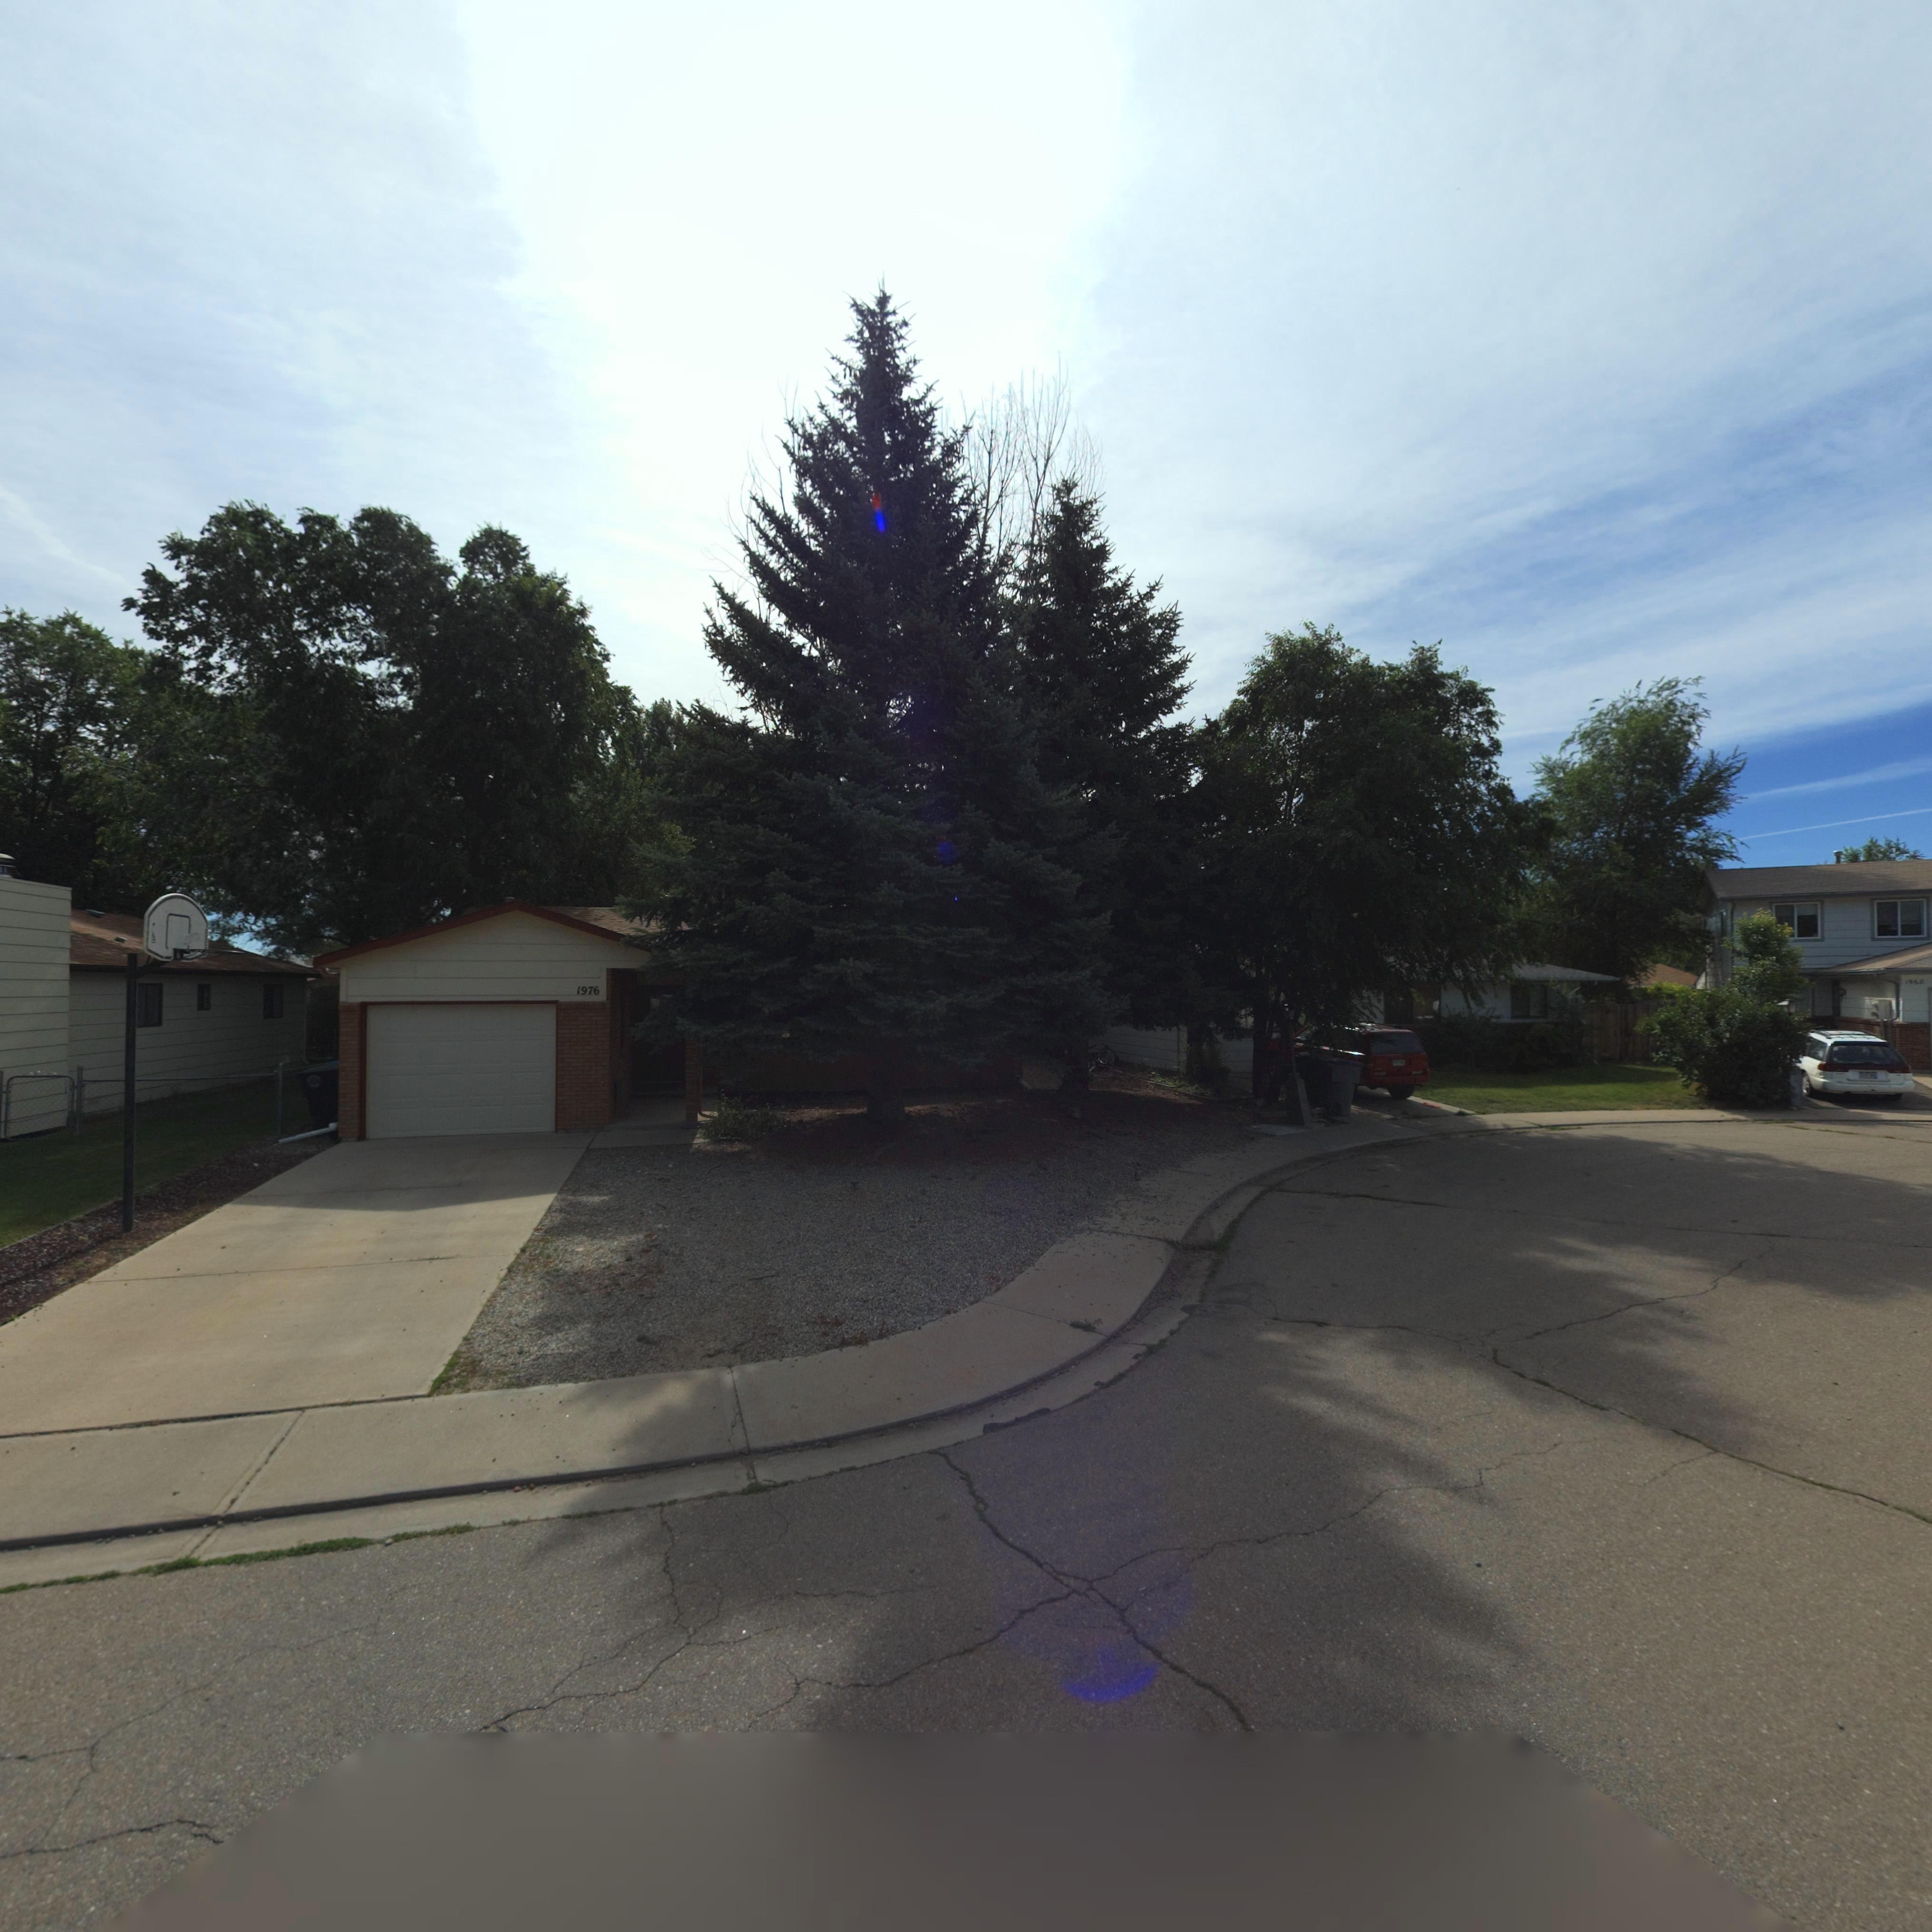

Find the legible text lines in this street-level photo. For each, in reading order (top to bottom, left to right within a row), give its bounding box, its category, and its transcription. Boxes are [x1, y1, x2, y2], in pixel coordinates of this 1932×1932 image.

[1904, 978, 1925, 986] StreetNumber: 195*
[575, 985, 600, 995] StreetNumber: 1976